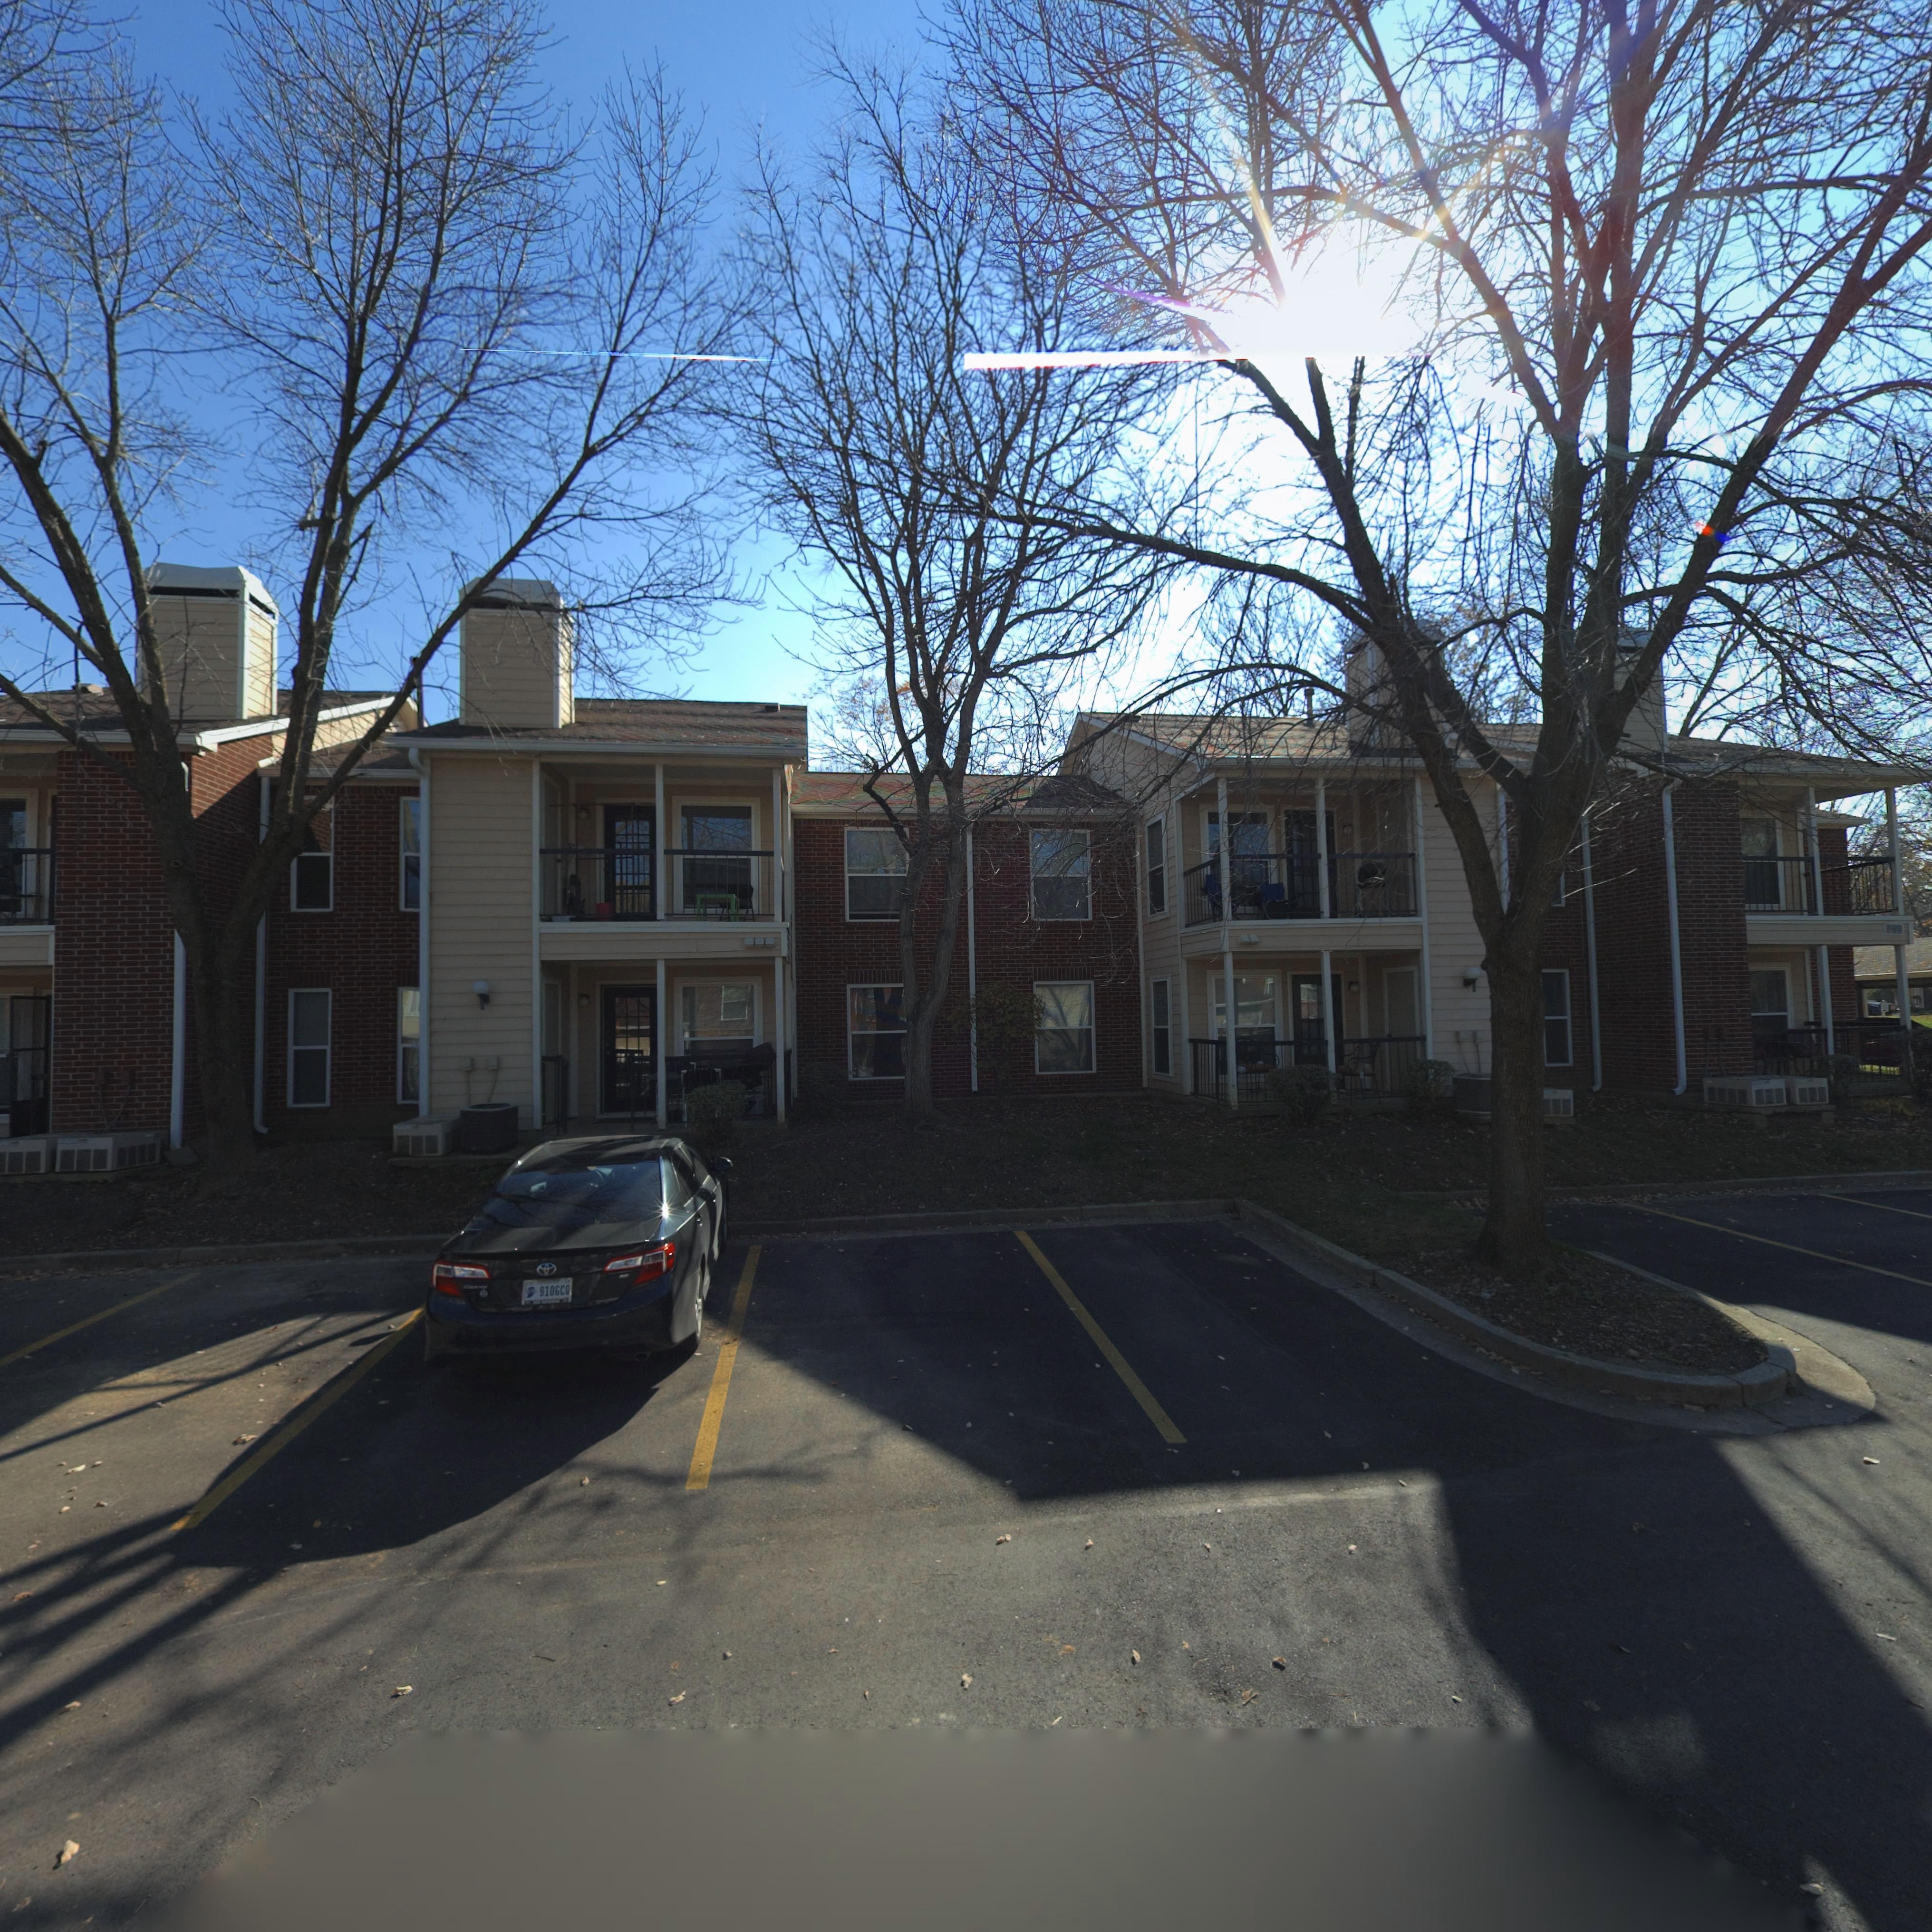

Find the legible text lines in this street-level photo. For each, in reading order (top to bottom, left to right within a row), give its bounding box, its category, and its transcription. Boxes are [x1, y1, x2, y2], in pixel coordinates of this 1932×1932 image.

[538, 1283, 571, 1298] None: 910GCQ